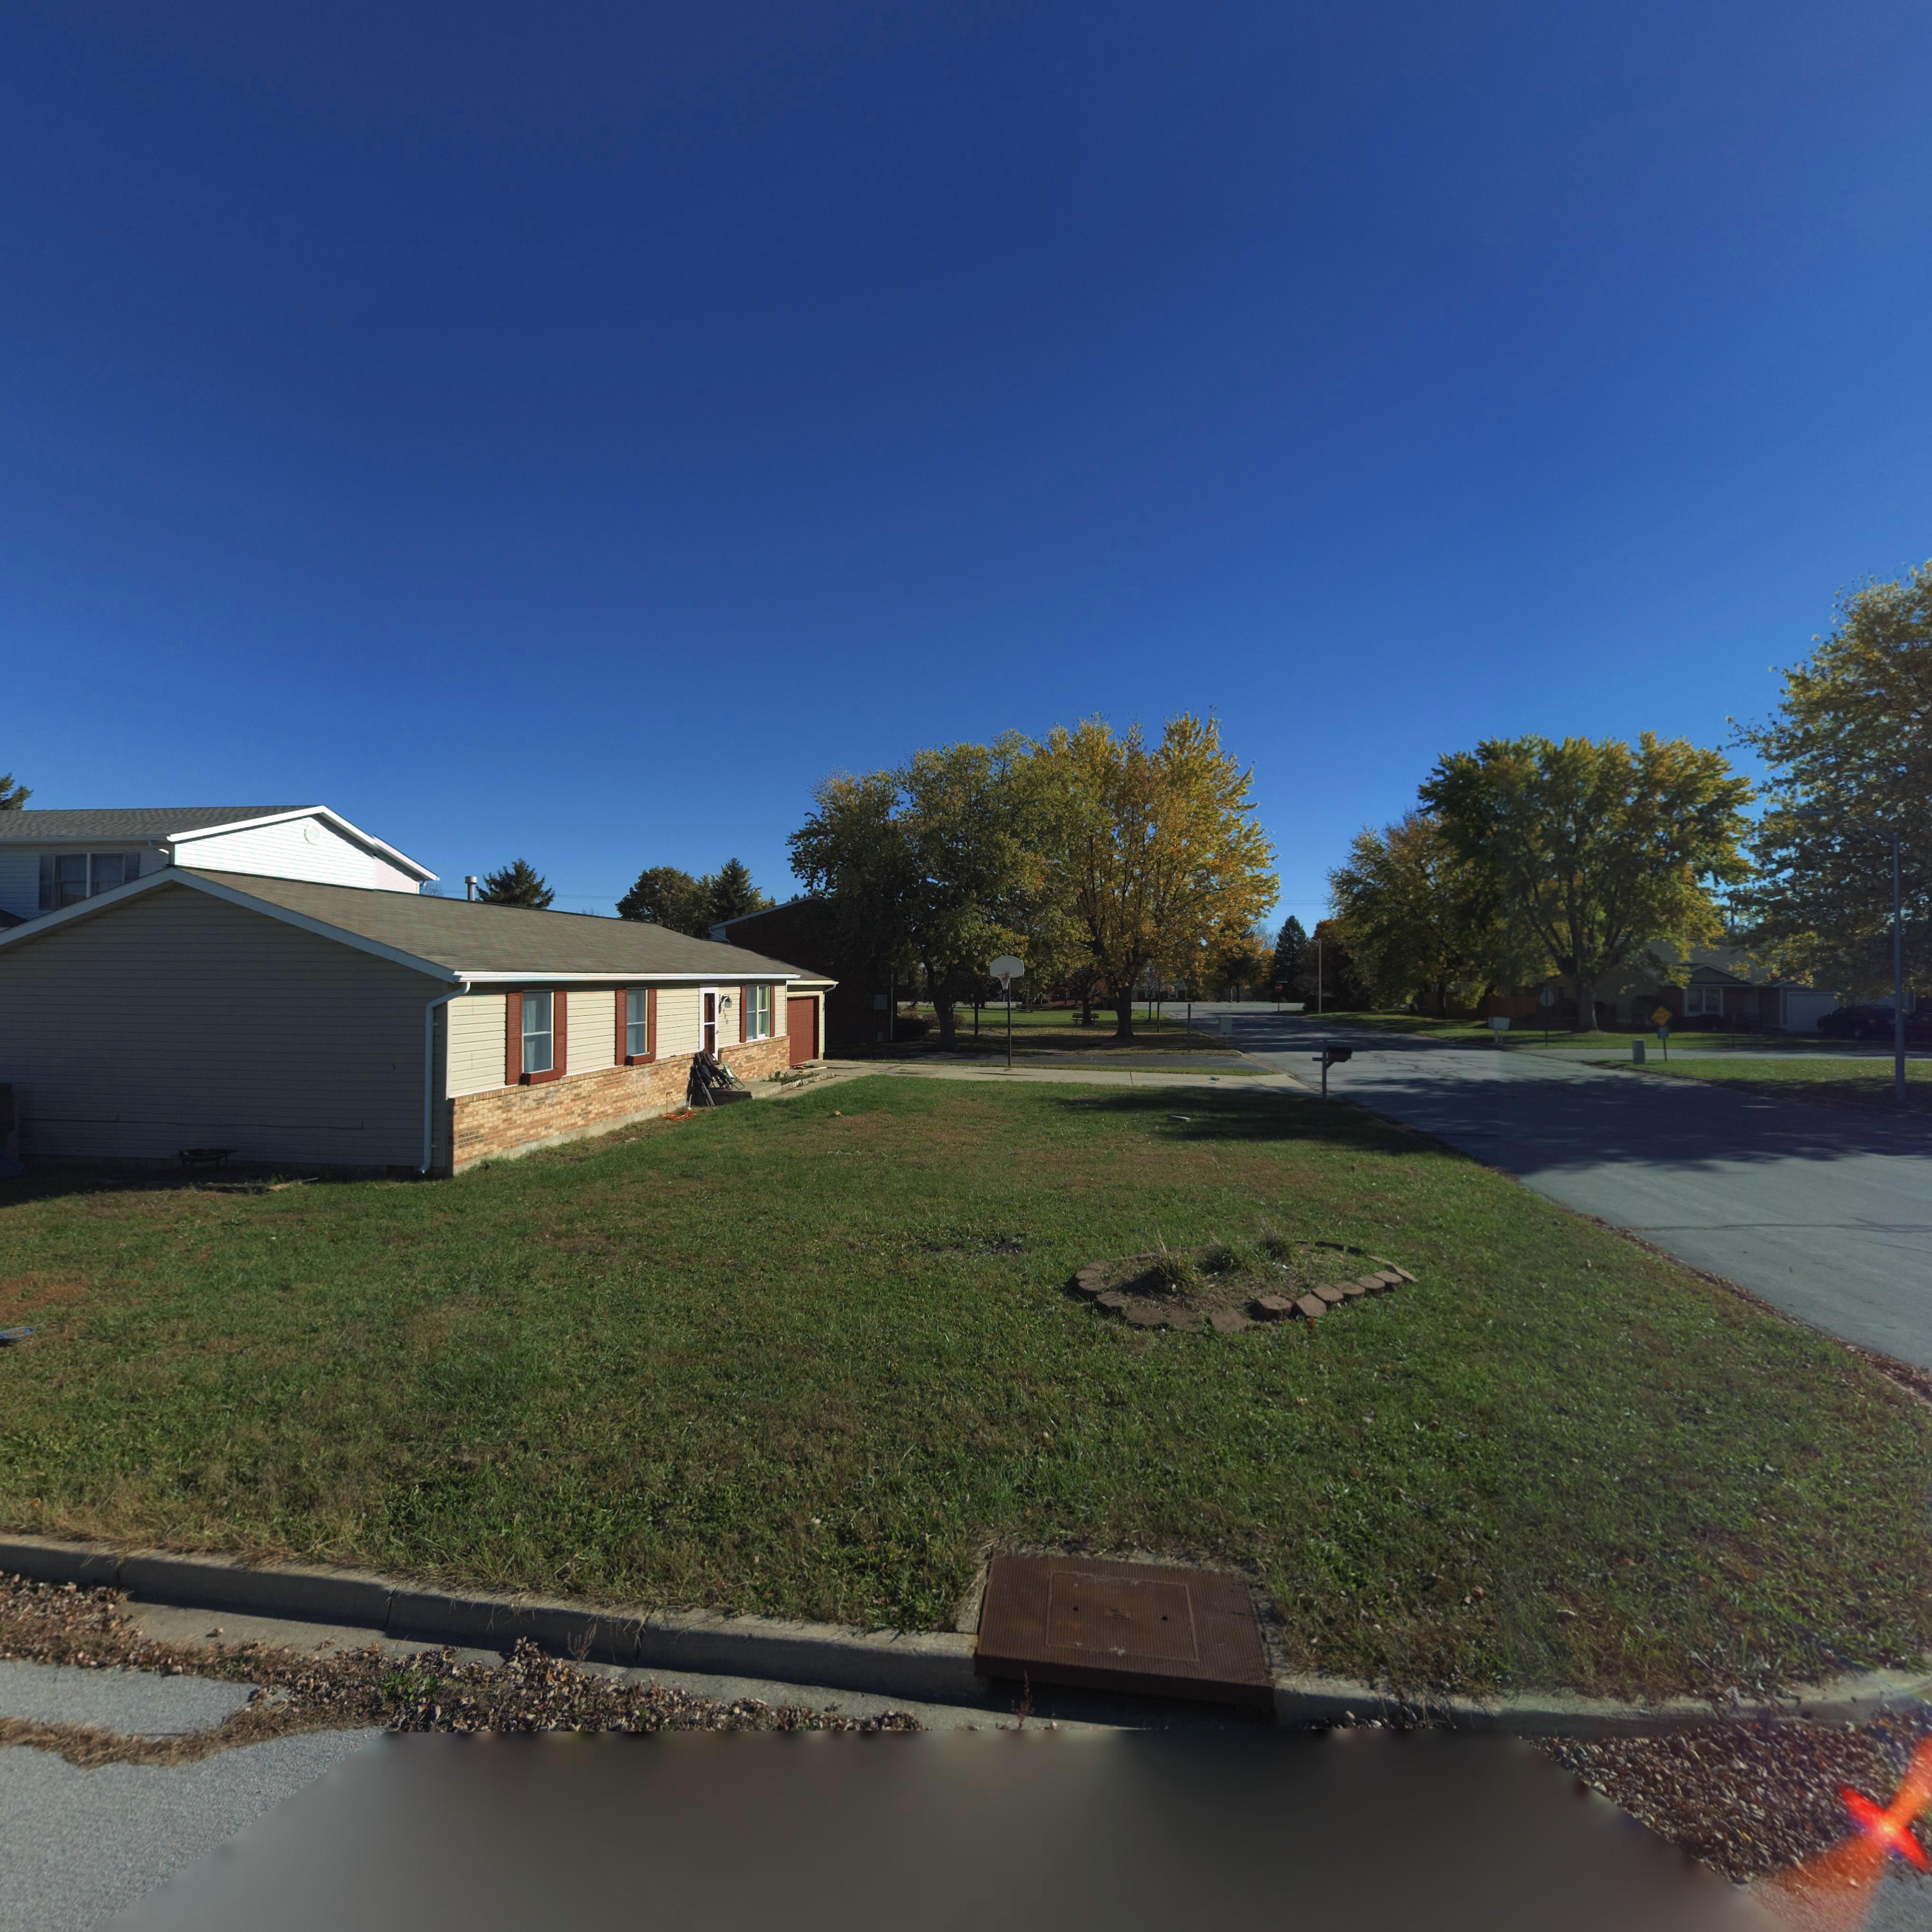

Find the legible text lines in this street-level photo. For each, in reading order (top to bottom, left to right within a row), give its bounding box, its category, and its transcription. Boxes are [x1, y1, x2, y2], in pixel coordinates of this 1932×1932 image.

[723, 1008, 729, 1024] StreetNumber: 120